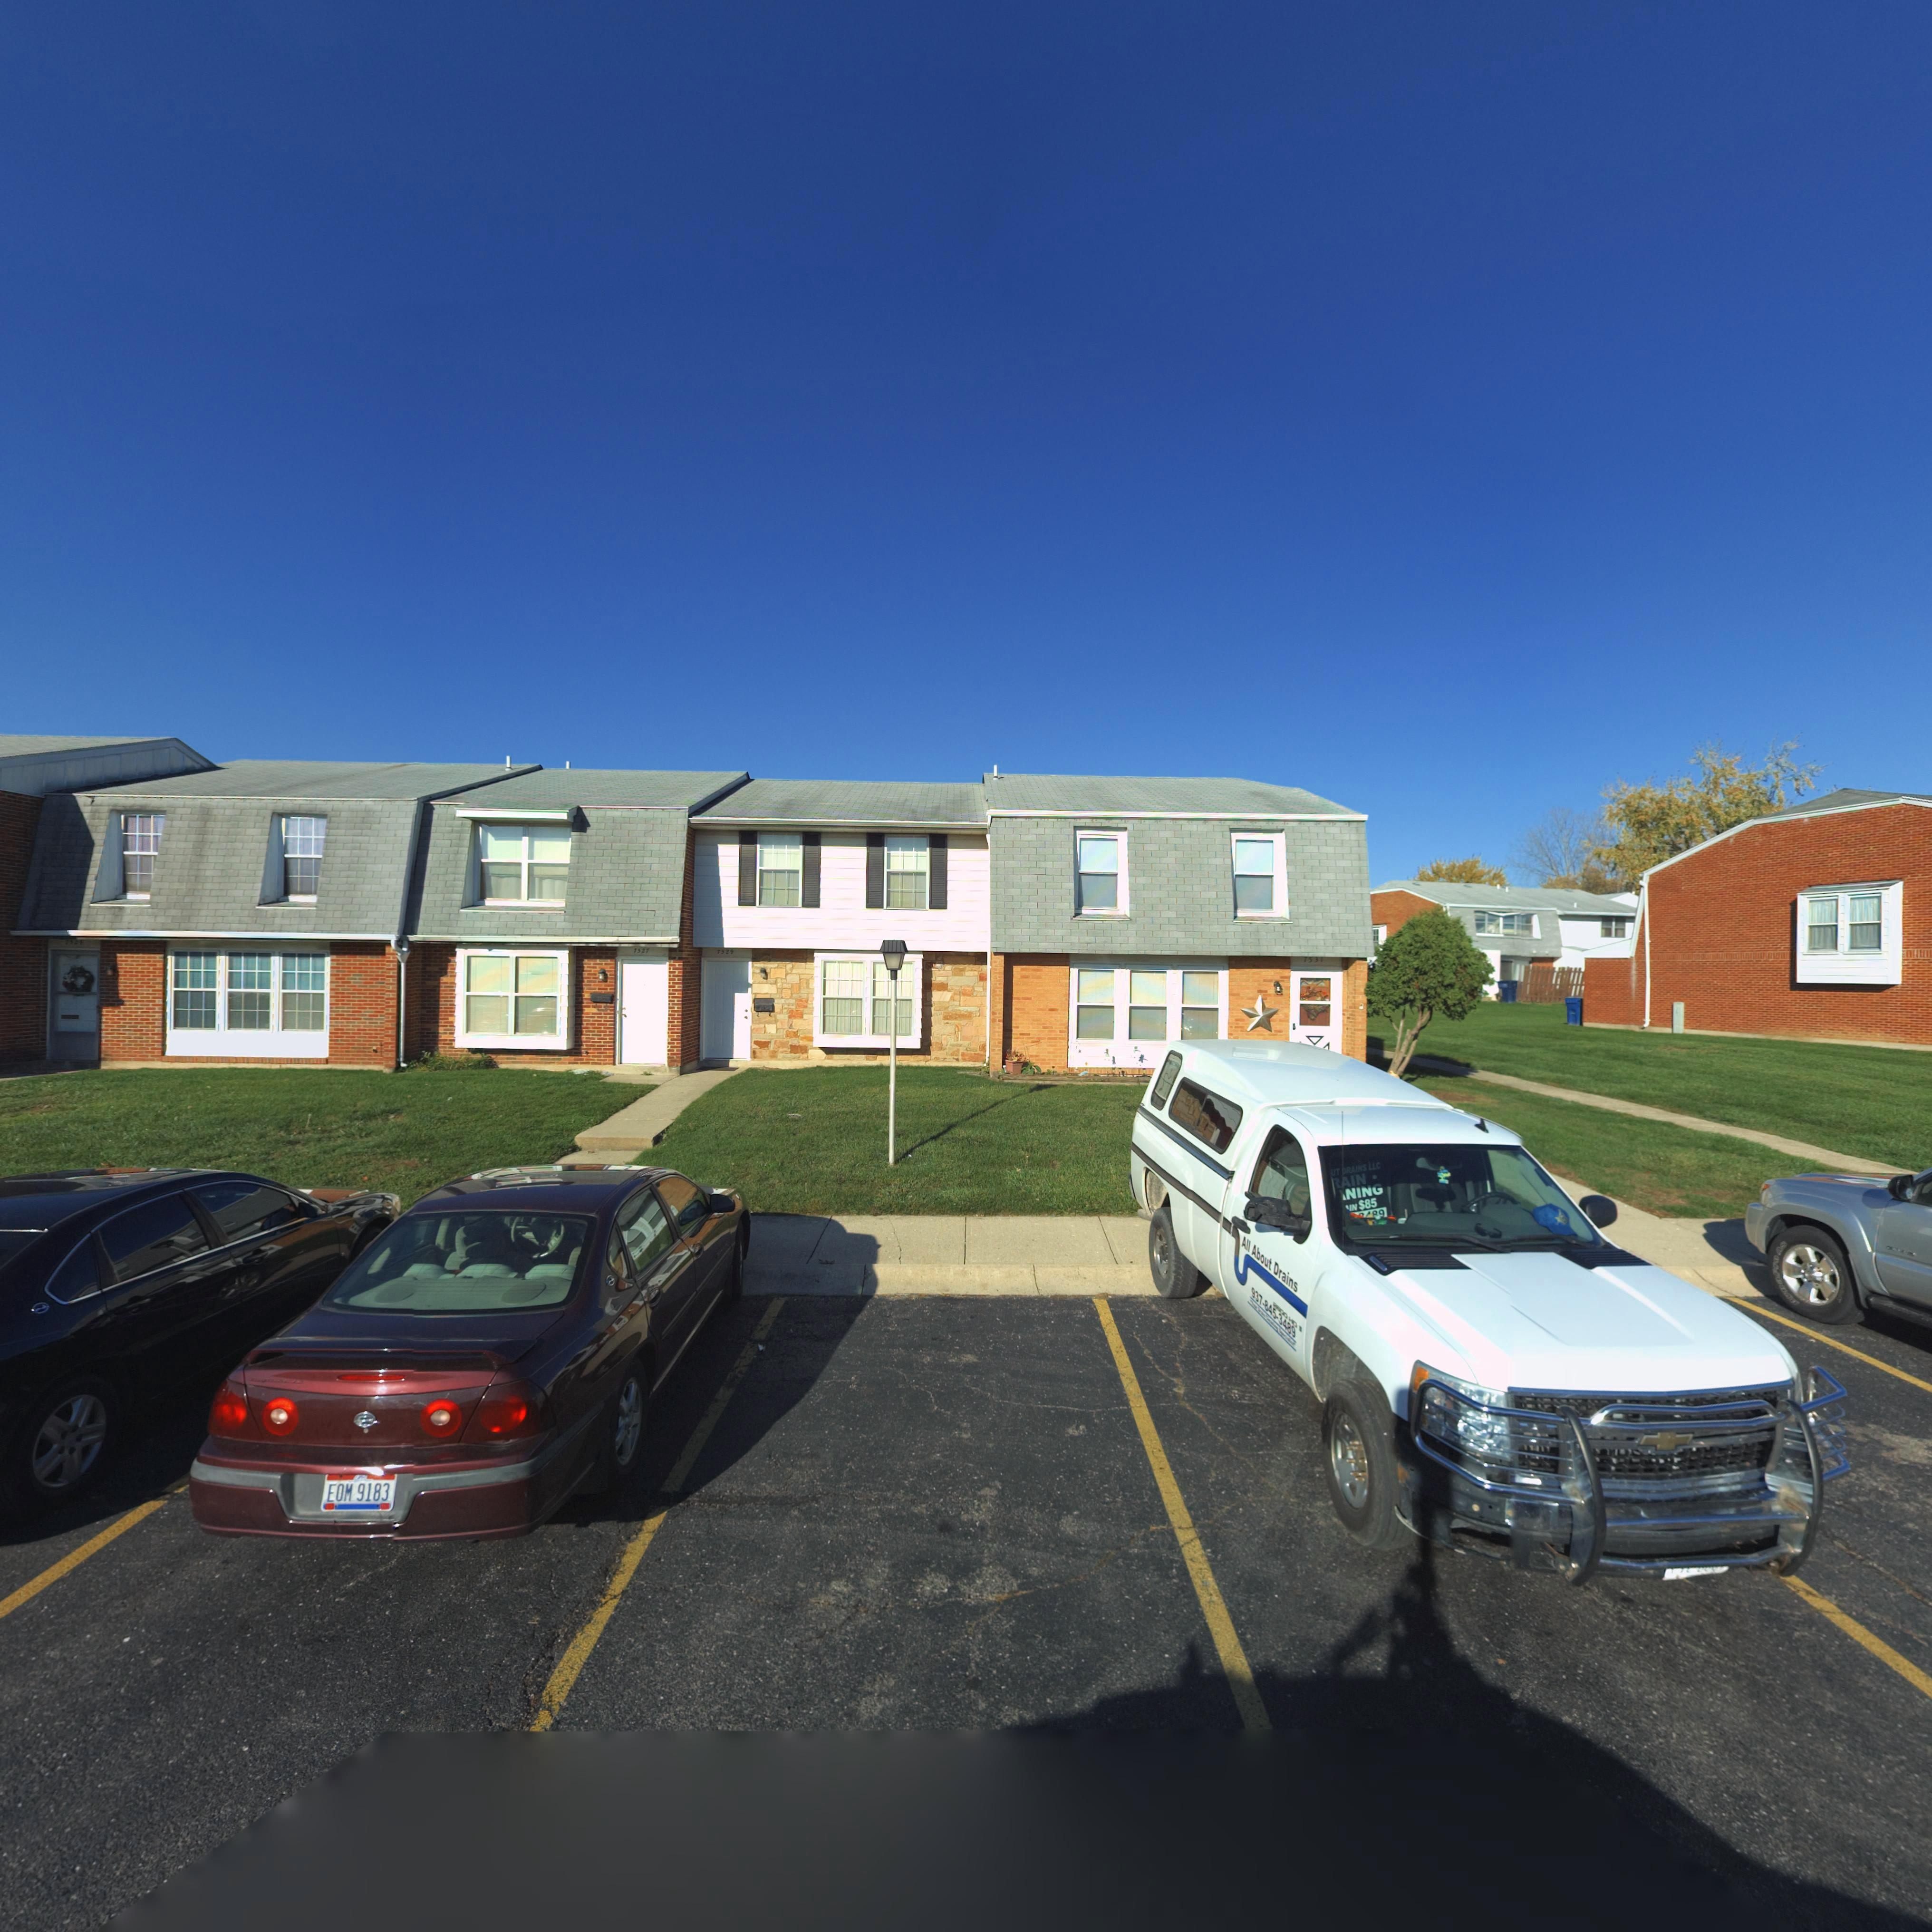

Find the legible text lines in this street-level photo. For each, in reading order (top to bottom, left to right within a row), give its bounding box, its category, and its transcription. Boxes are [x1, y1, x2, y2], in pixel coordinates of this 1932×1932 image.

[64, 939, 83, 945] StreetNumber: 7525
[634, 948, 649, 954] StreetNumber: 7527
[716, 949, 734, 955] StreetNumber: 7529
[1304, 956, 1323, 963] StreetNumber: 7531